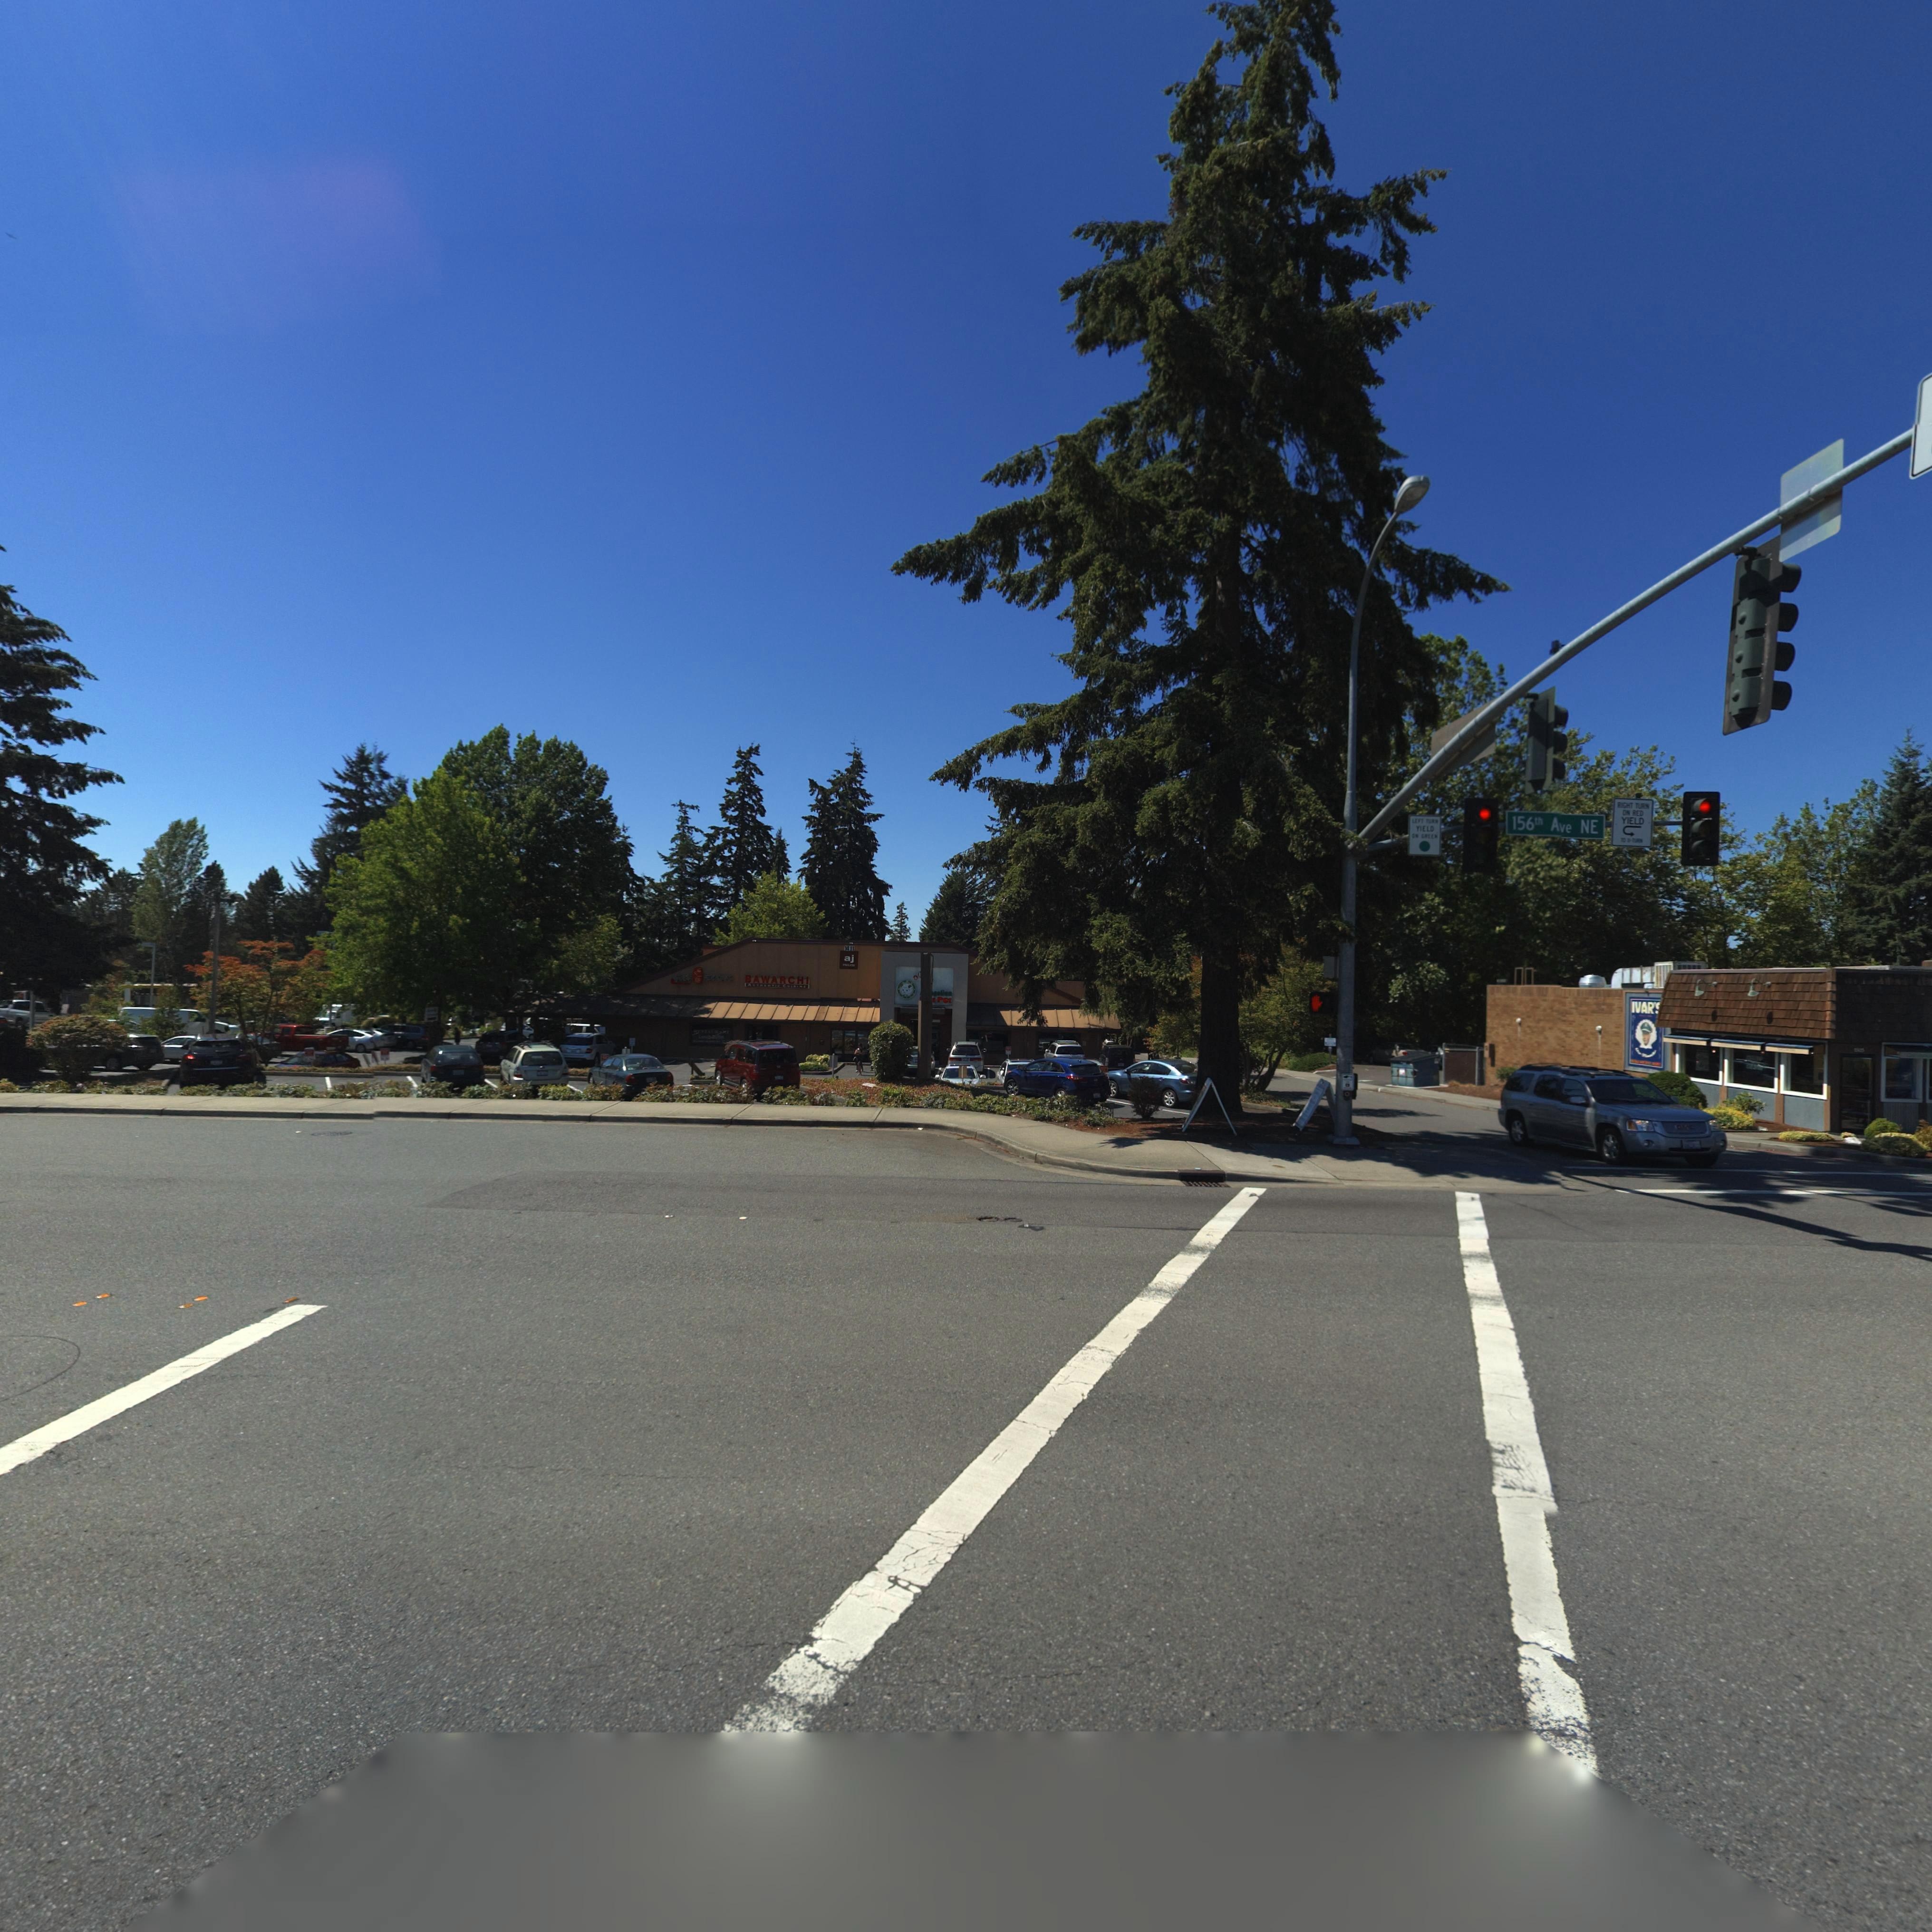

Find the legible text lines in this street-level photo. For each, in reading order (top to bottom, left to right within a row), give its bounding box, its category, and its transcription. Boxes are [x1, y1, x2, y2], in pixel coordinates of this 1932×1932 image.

[1511, 814, 1599, 833] StreetName: 156th Ave NE
[843, 945, 855, 952] StreetNumber: 1411
[744, 974, 809, 984] BusinessName: BAWARCHI
[747, 983, 808, 989] BusinessName: AUTHENTIC CUISINE
[1631, 1001, 1655, 1014] BusinessName: IVAR